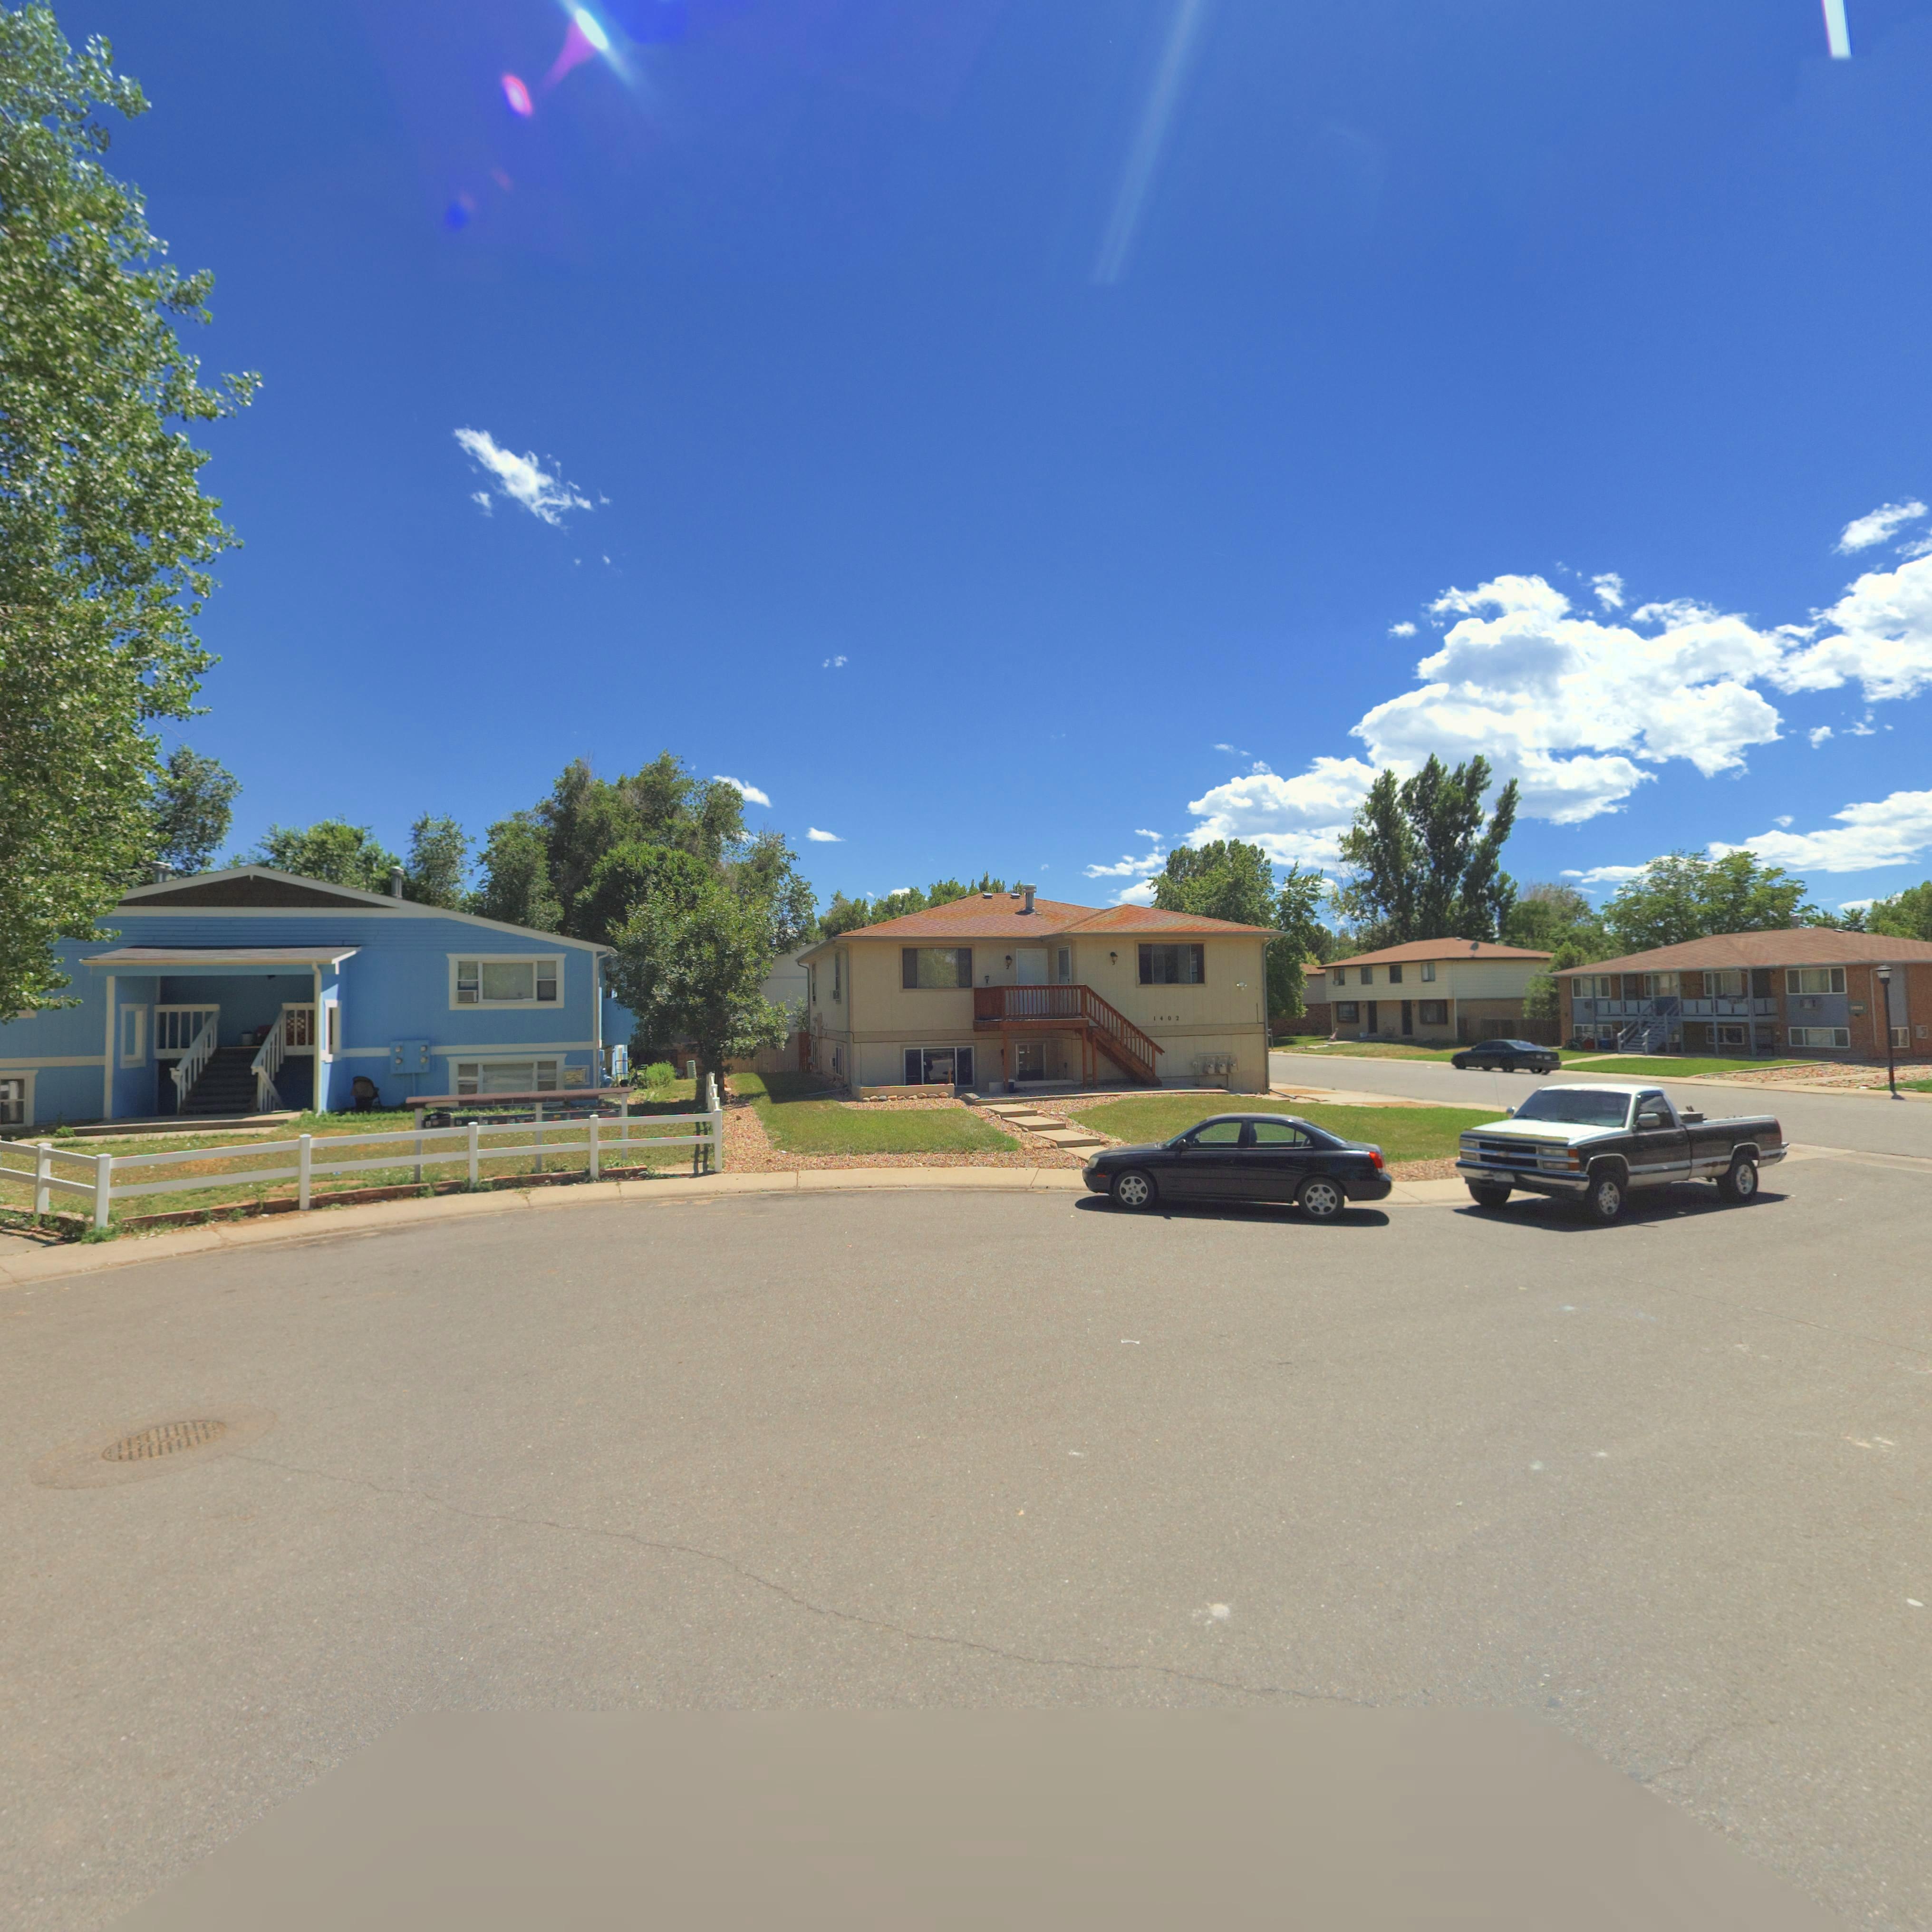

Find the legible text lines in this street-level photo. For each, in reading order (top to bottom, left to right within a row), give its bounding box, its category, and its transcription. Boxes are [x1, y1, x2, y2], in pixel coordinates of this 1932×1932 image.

[1850, 1005, 1863, 1010] StreetNumber: 1403
[1153, 1015, 1179, 1020] StreetNumber: 1402